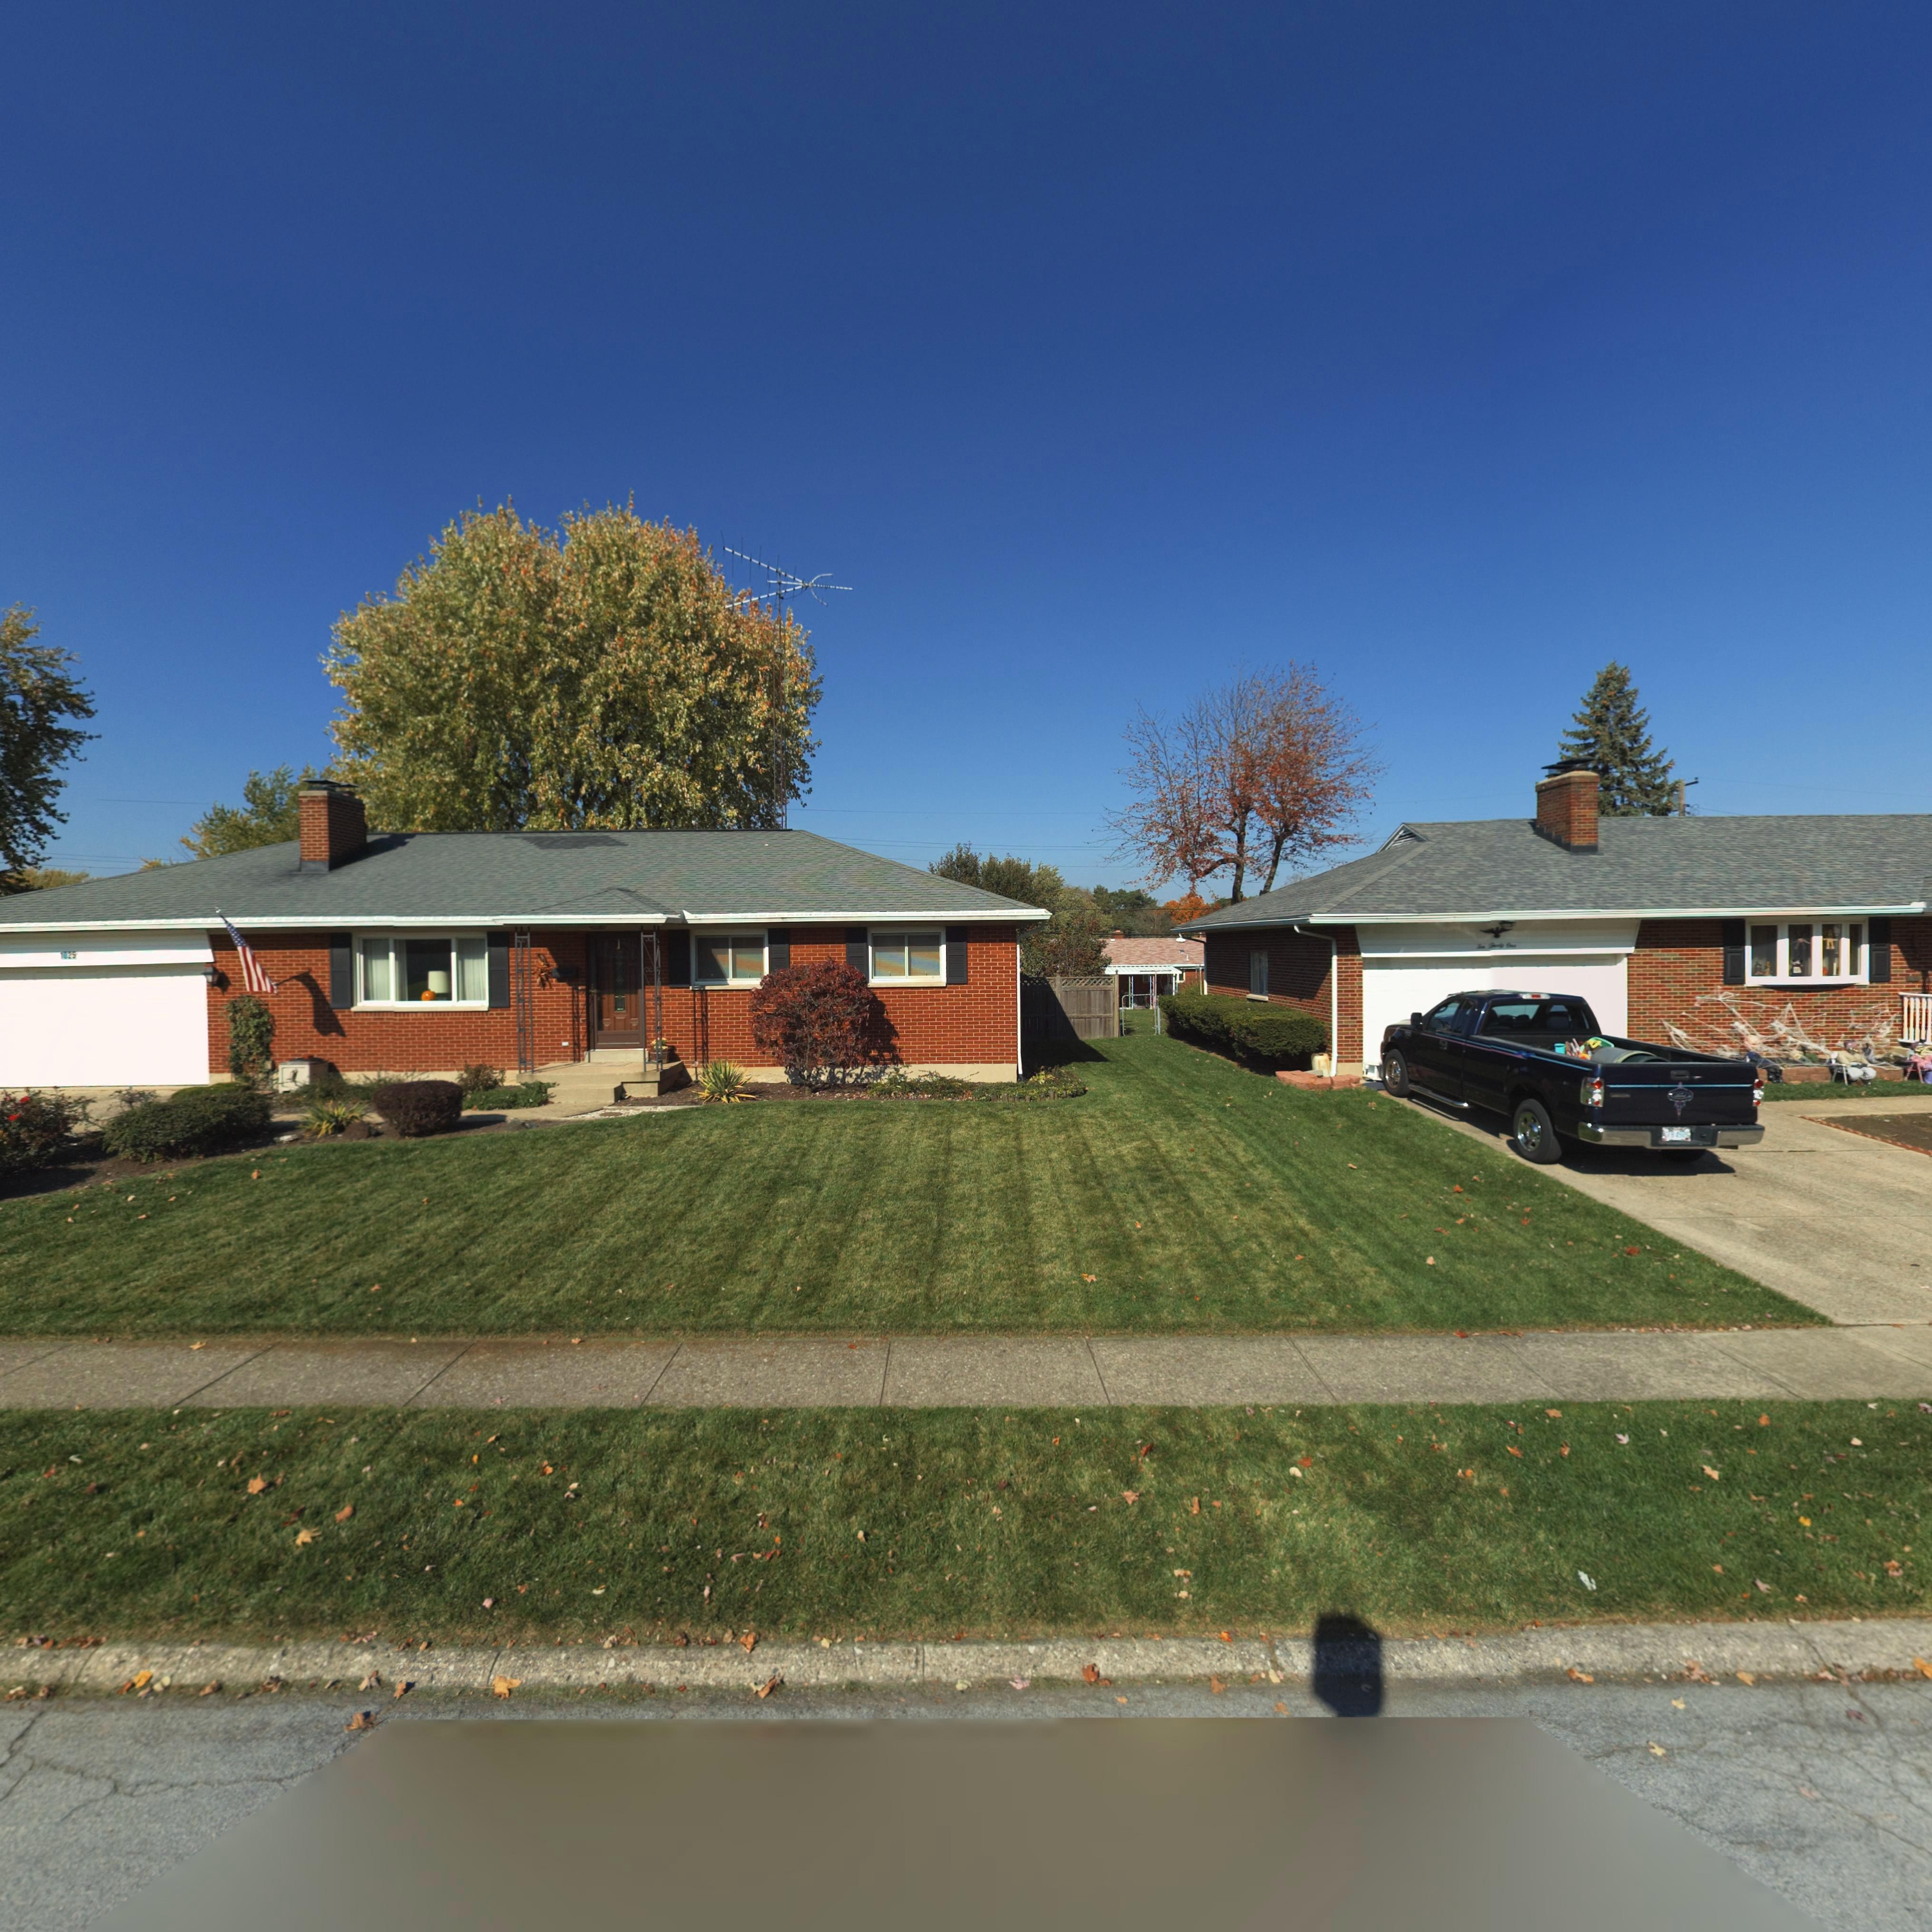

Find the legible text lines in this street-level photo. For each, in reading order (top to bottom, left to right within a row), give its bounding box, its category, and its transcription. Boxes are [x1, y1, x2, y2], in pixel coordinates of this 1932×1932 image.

[60, 951, 77, 959] StreetNumber: 1029